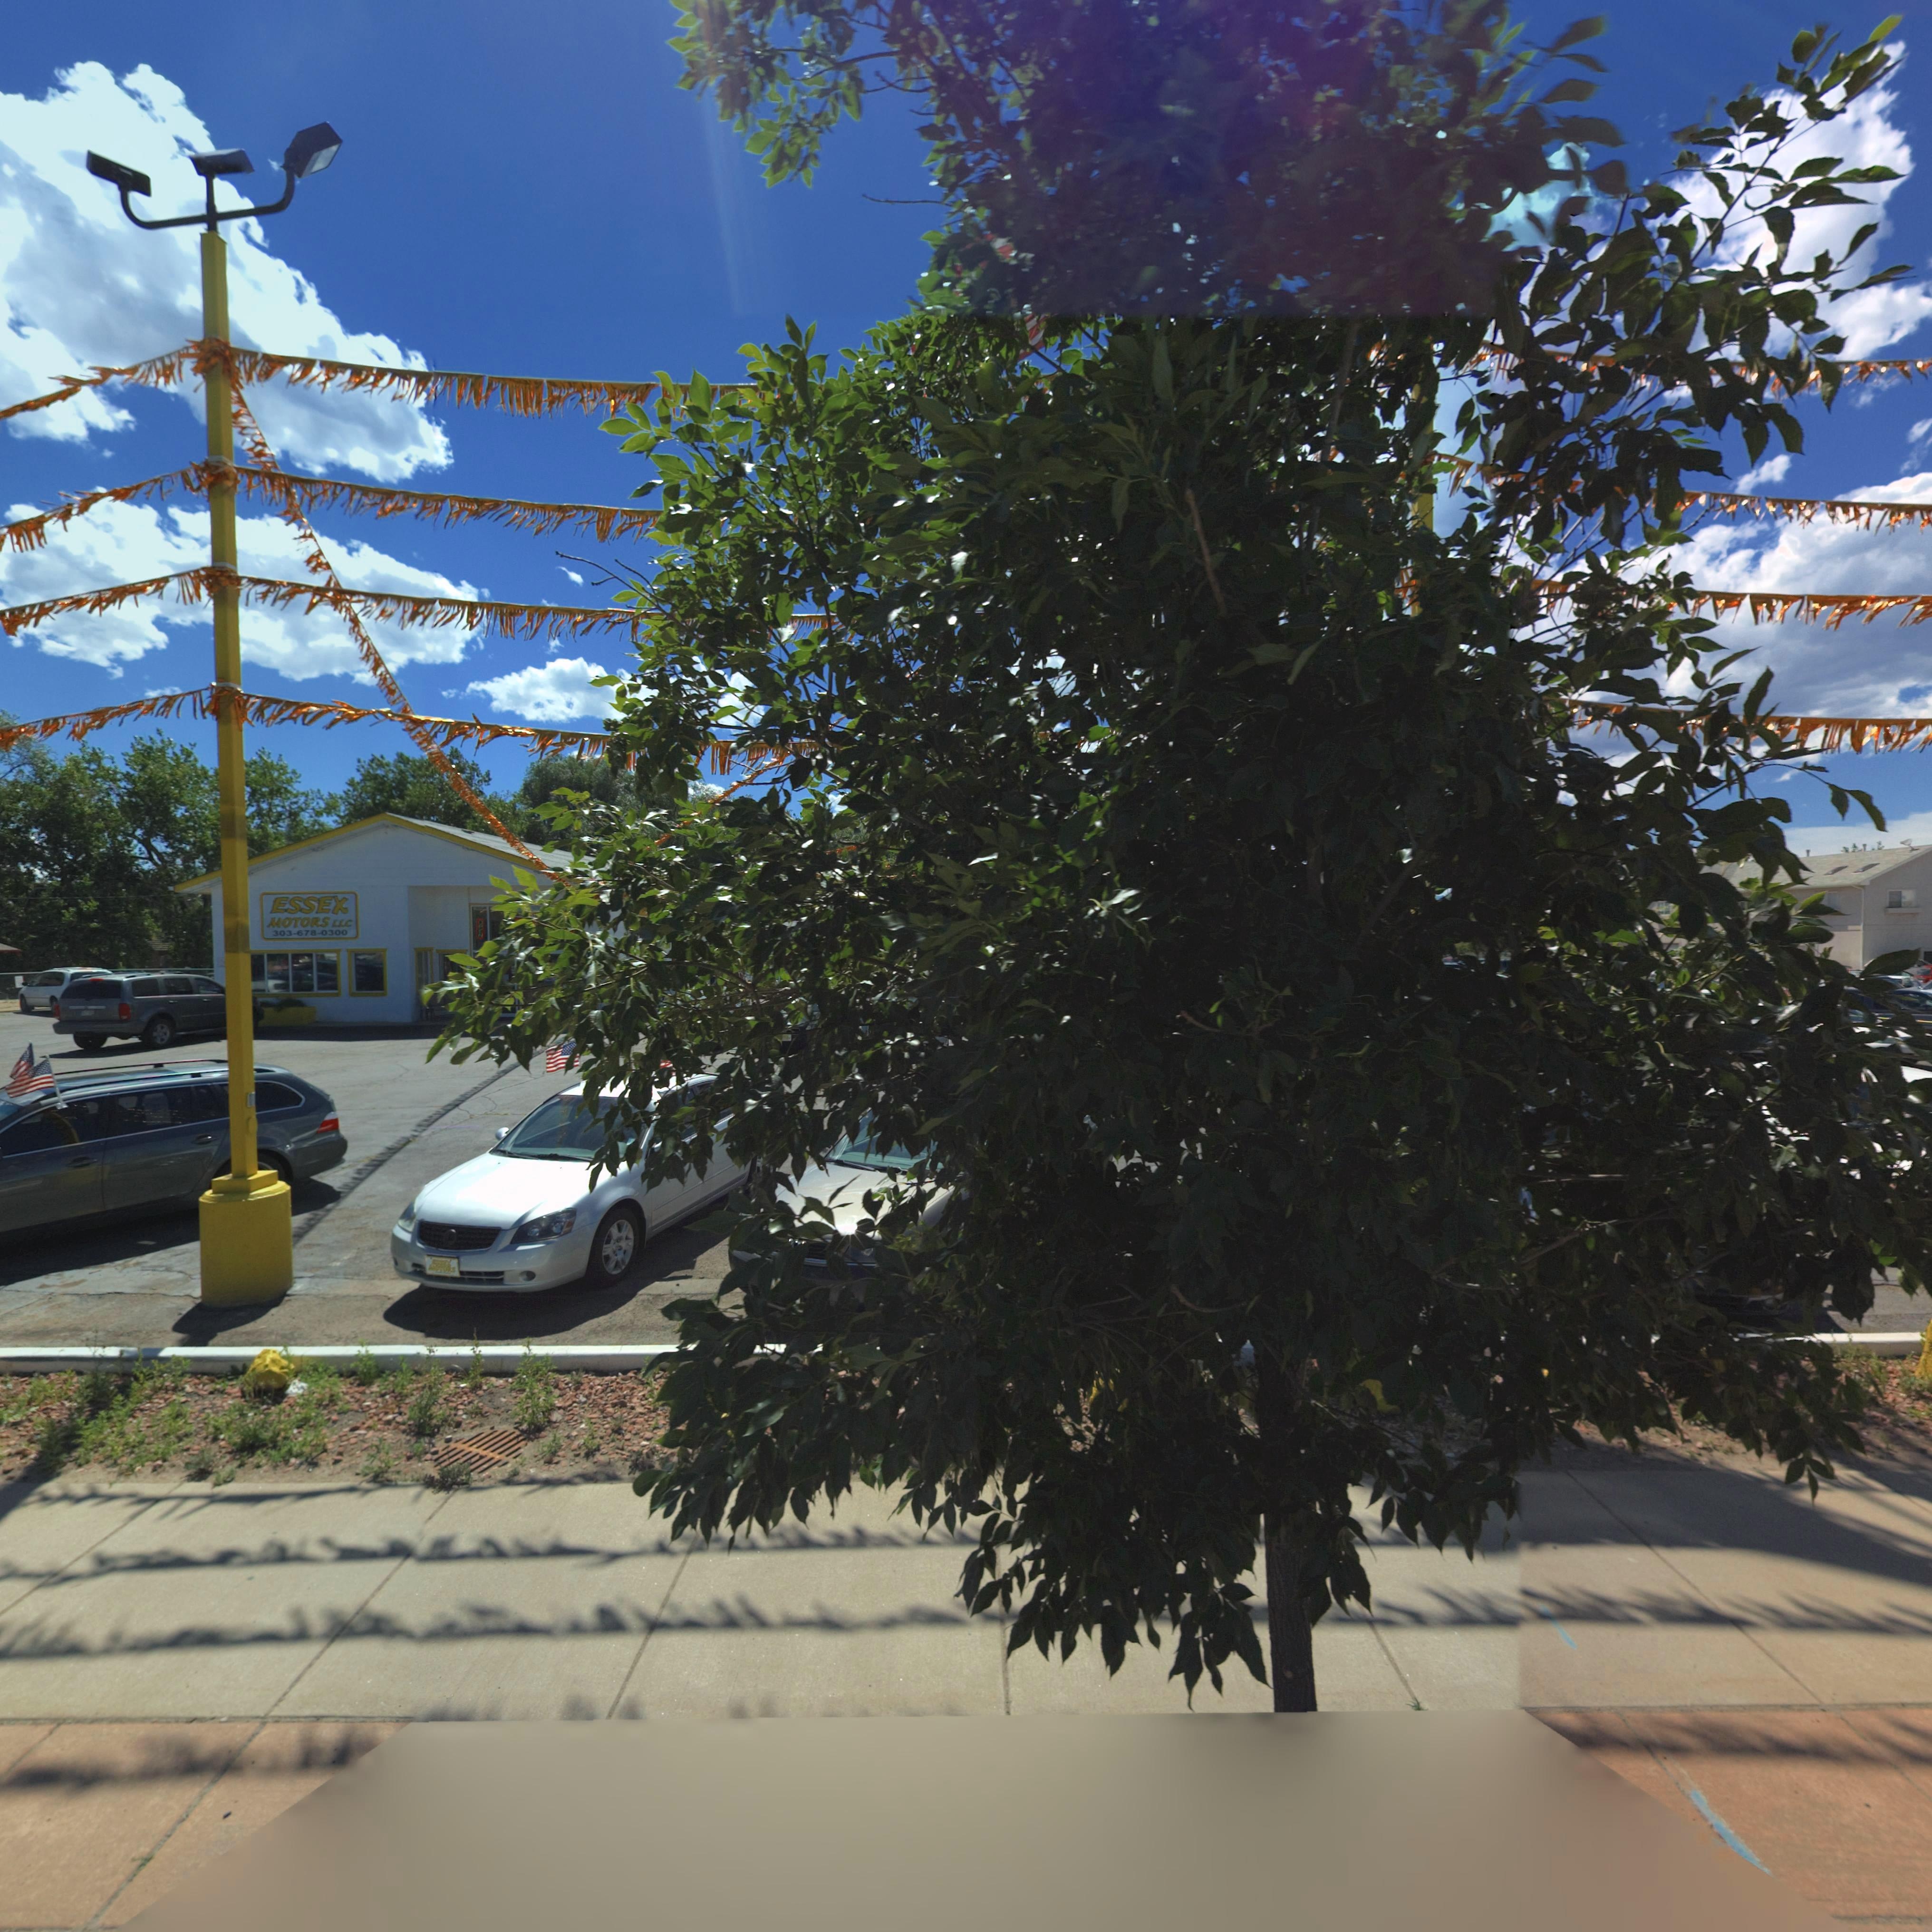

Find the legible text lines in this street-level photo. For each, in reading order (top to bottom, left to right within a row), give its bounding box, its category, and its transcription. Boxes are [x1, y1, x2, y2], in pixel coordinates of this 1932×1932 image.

[269, 895, 349, 915] BusinessName: ESSEX
[265, 916, 354, 928] BusinessName: MOTORS LLC